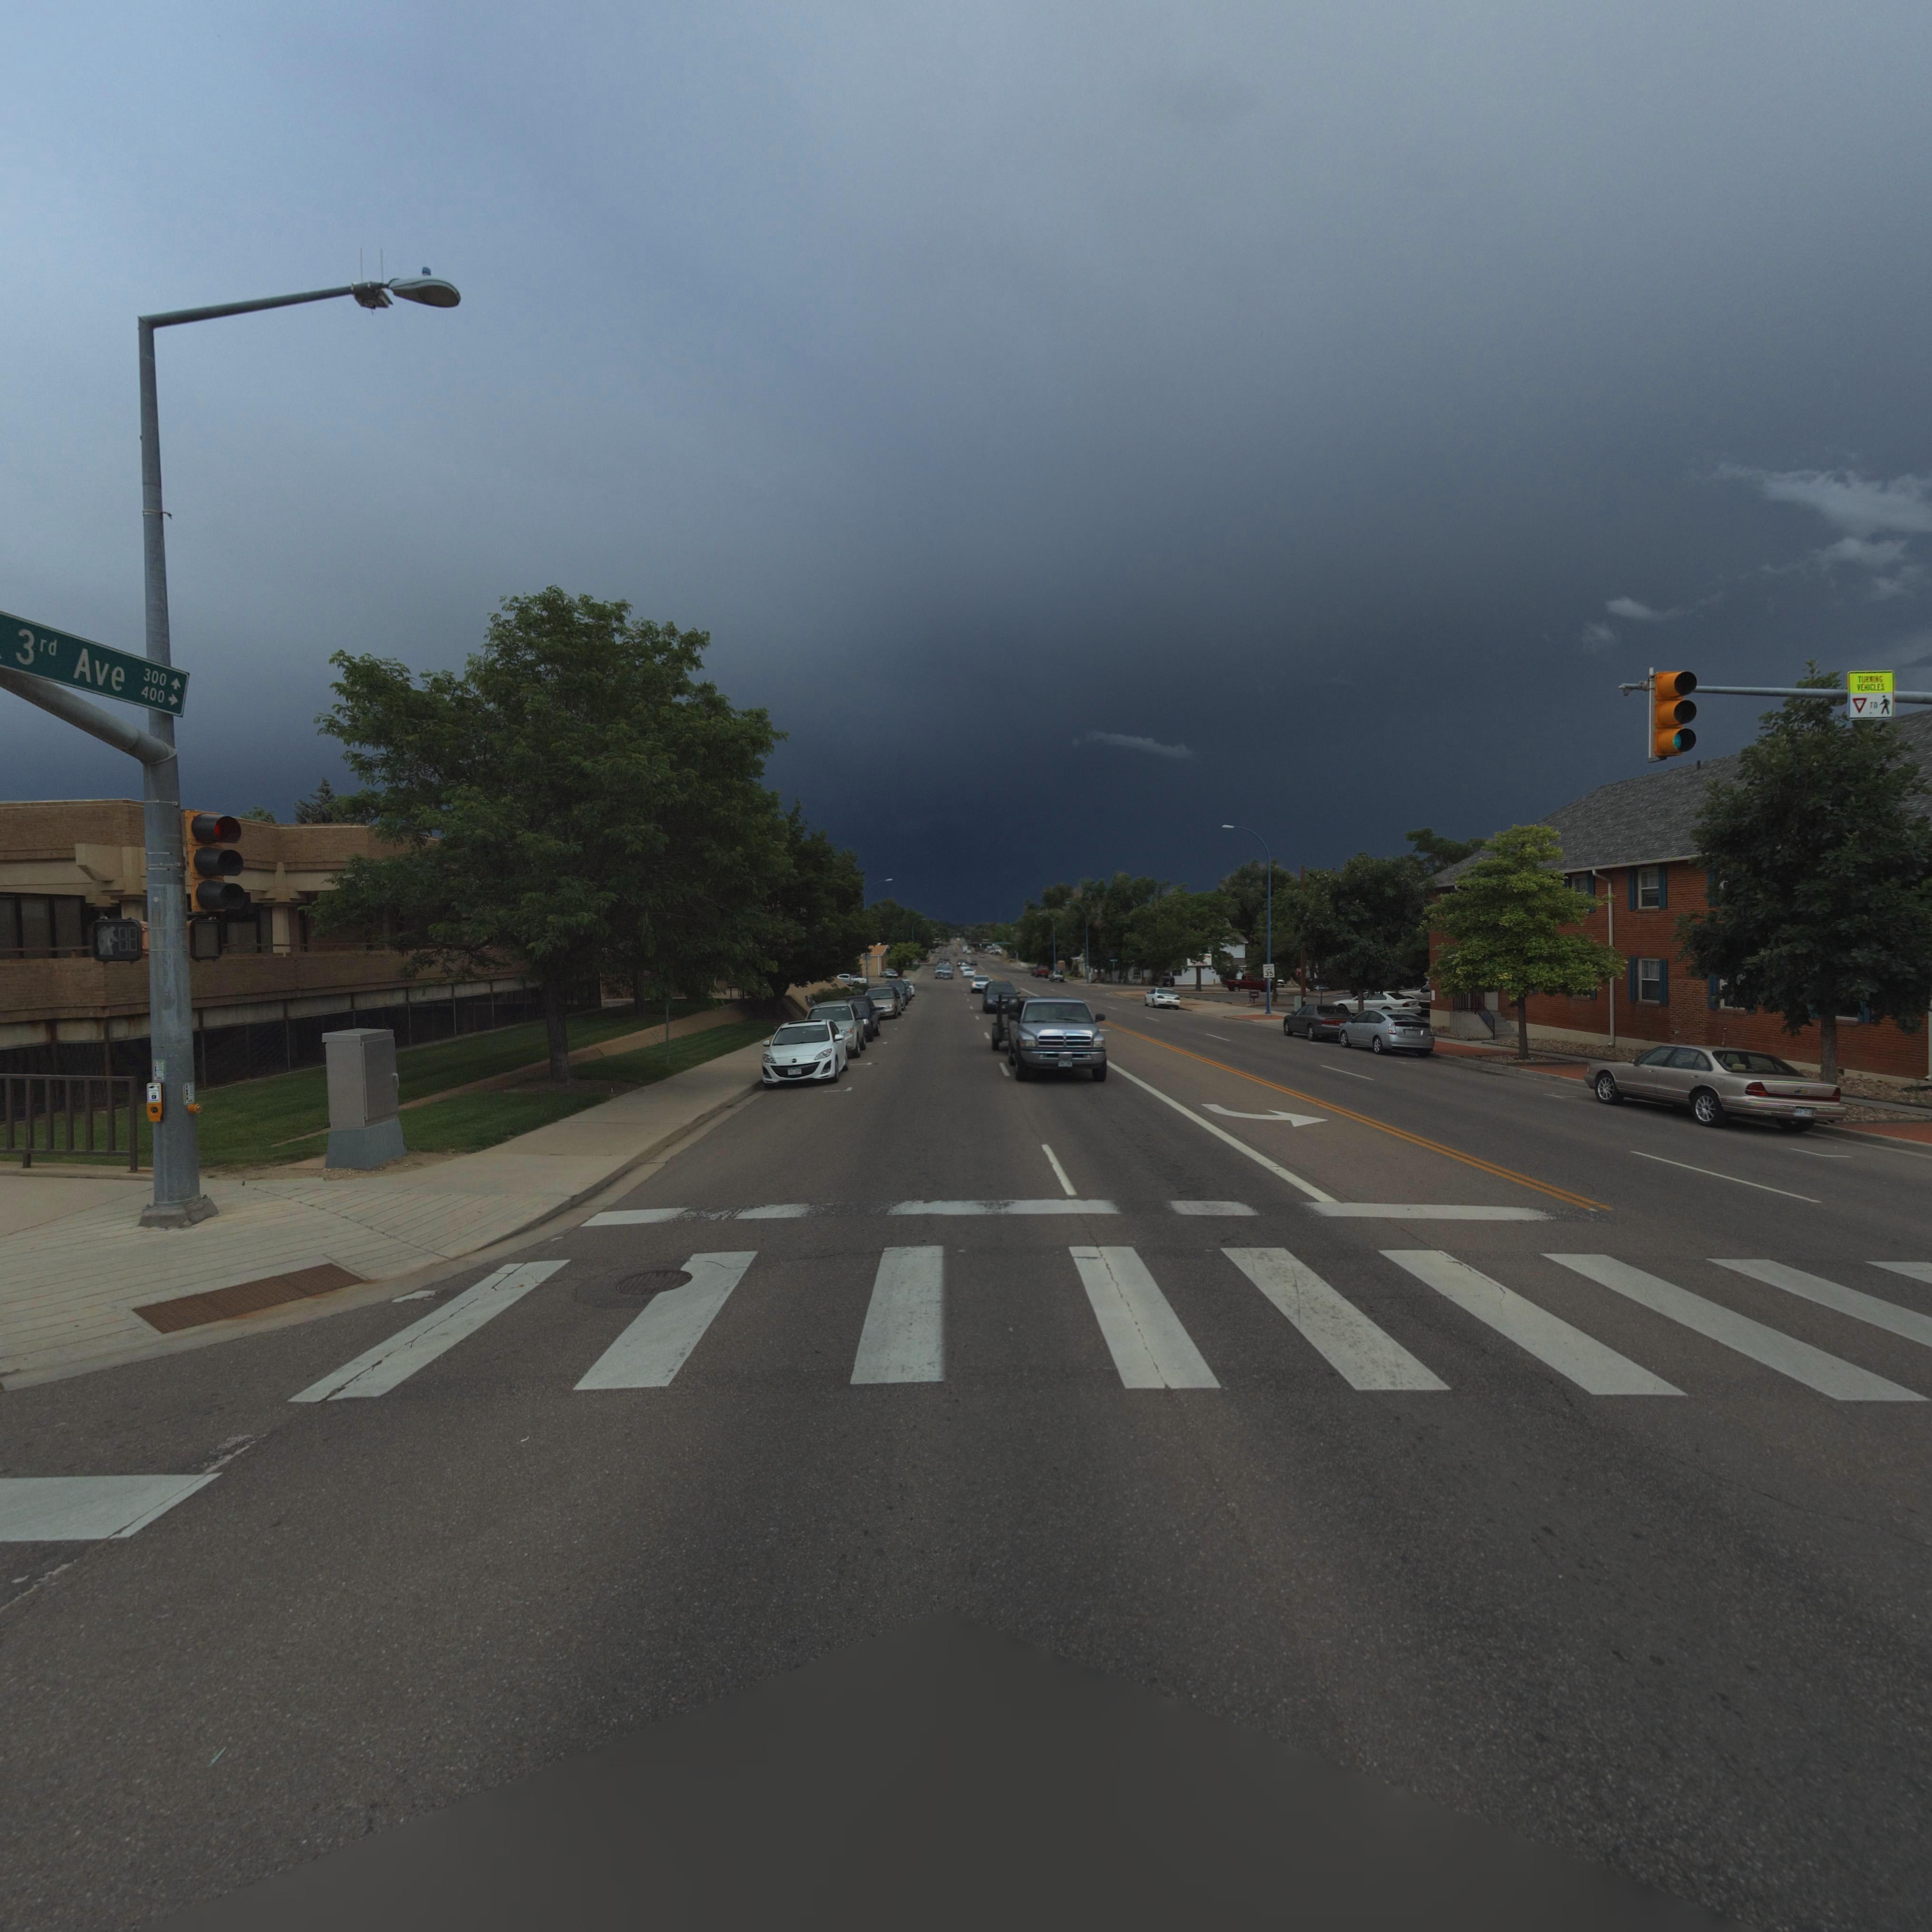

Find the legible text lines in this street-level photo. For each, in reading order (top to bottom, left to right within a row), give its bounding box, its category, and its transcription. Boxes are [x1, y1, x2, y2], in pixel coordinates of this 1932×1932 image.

[15, 629, 125, 692] StreetName: 3rd Ave
[143, 667, 167, 686] StreetNumberRange: 300
[140, 686, 179, 705] StreetNumberRange: 400->